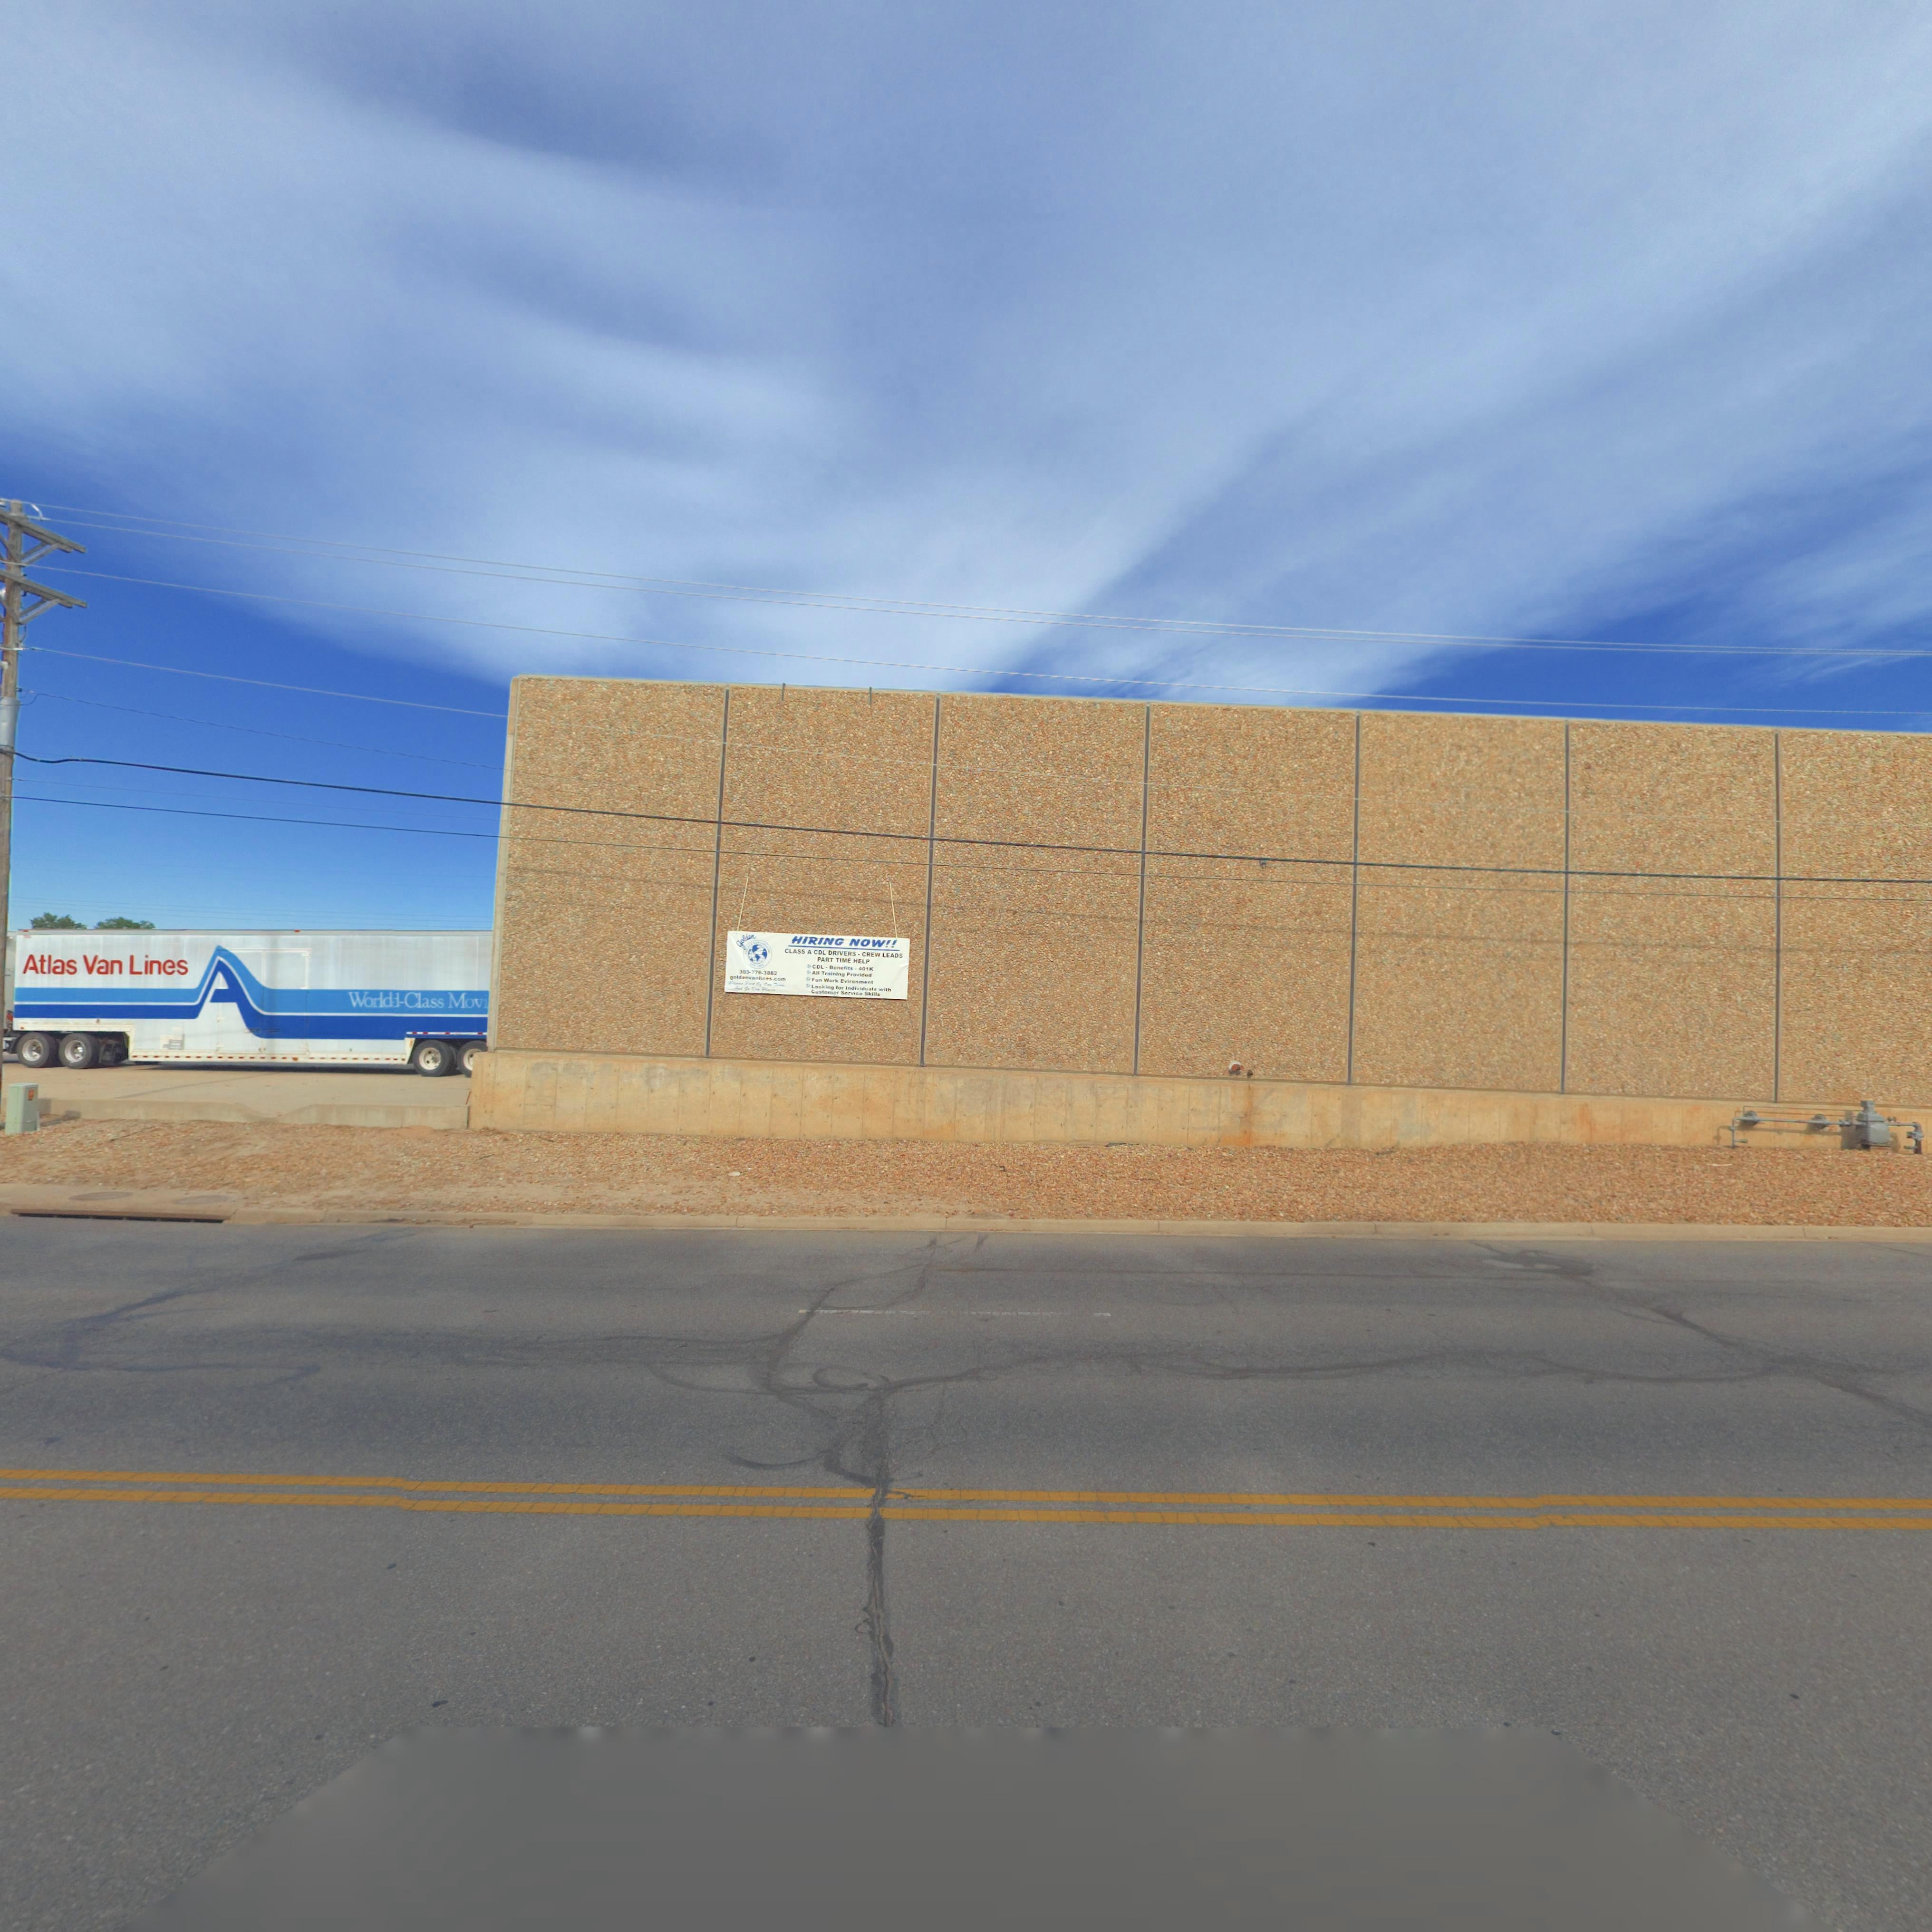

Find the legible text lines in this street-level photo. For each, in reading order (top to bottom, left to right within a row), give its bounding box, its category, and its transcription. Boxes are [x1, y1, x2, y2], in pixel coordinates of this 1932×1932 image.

[736, 933, 755, 950] BusinessName: golden